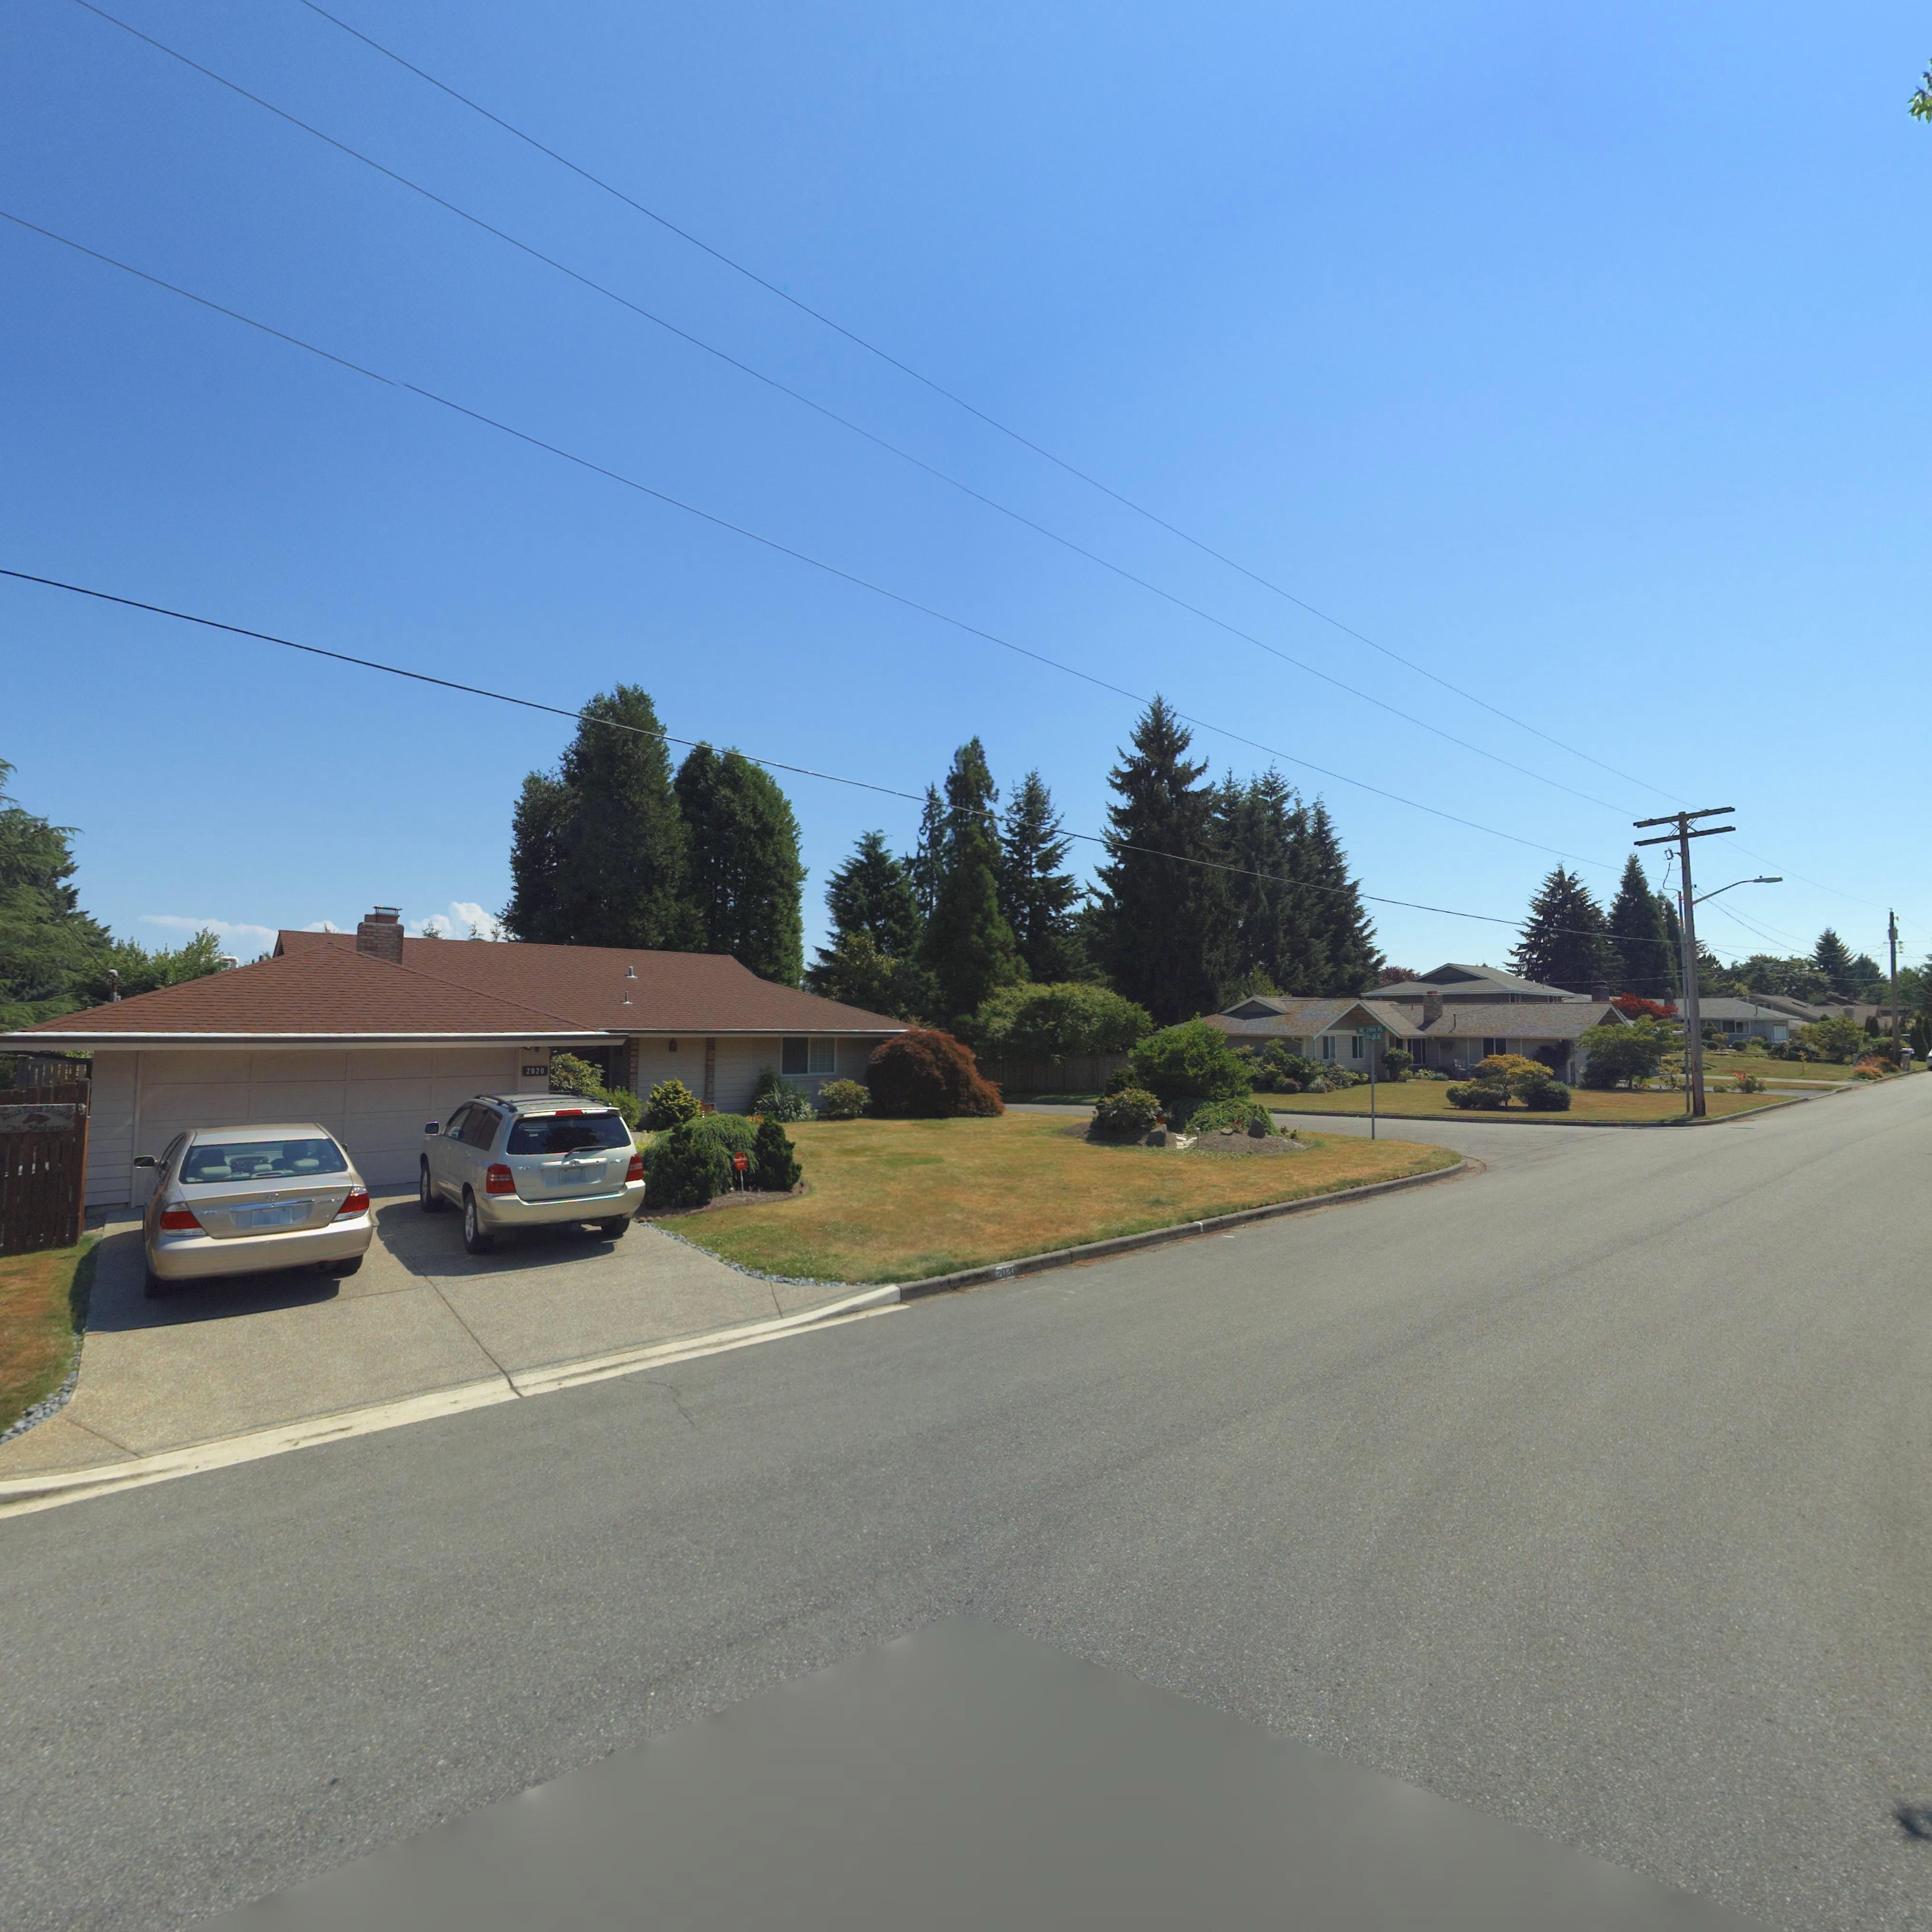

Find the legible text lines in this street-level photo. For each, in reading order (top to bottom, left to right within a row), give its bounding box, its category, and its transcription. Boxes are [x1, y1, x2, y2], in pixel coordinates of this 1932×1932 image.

[526, 1067, 544, 1074] StreetNumber: 2020
[996, 1265, 1015, 1279] StreetNumber: 2020